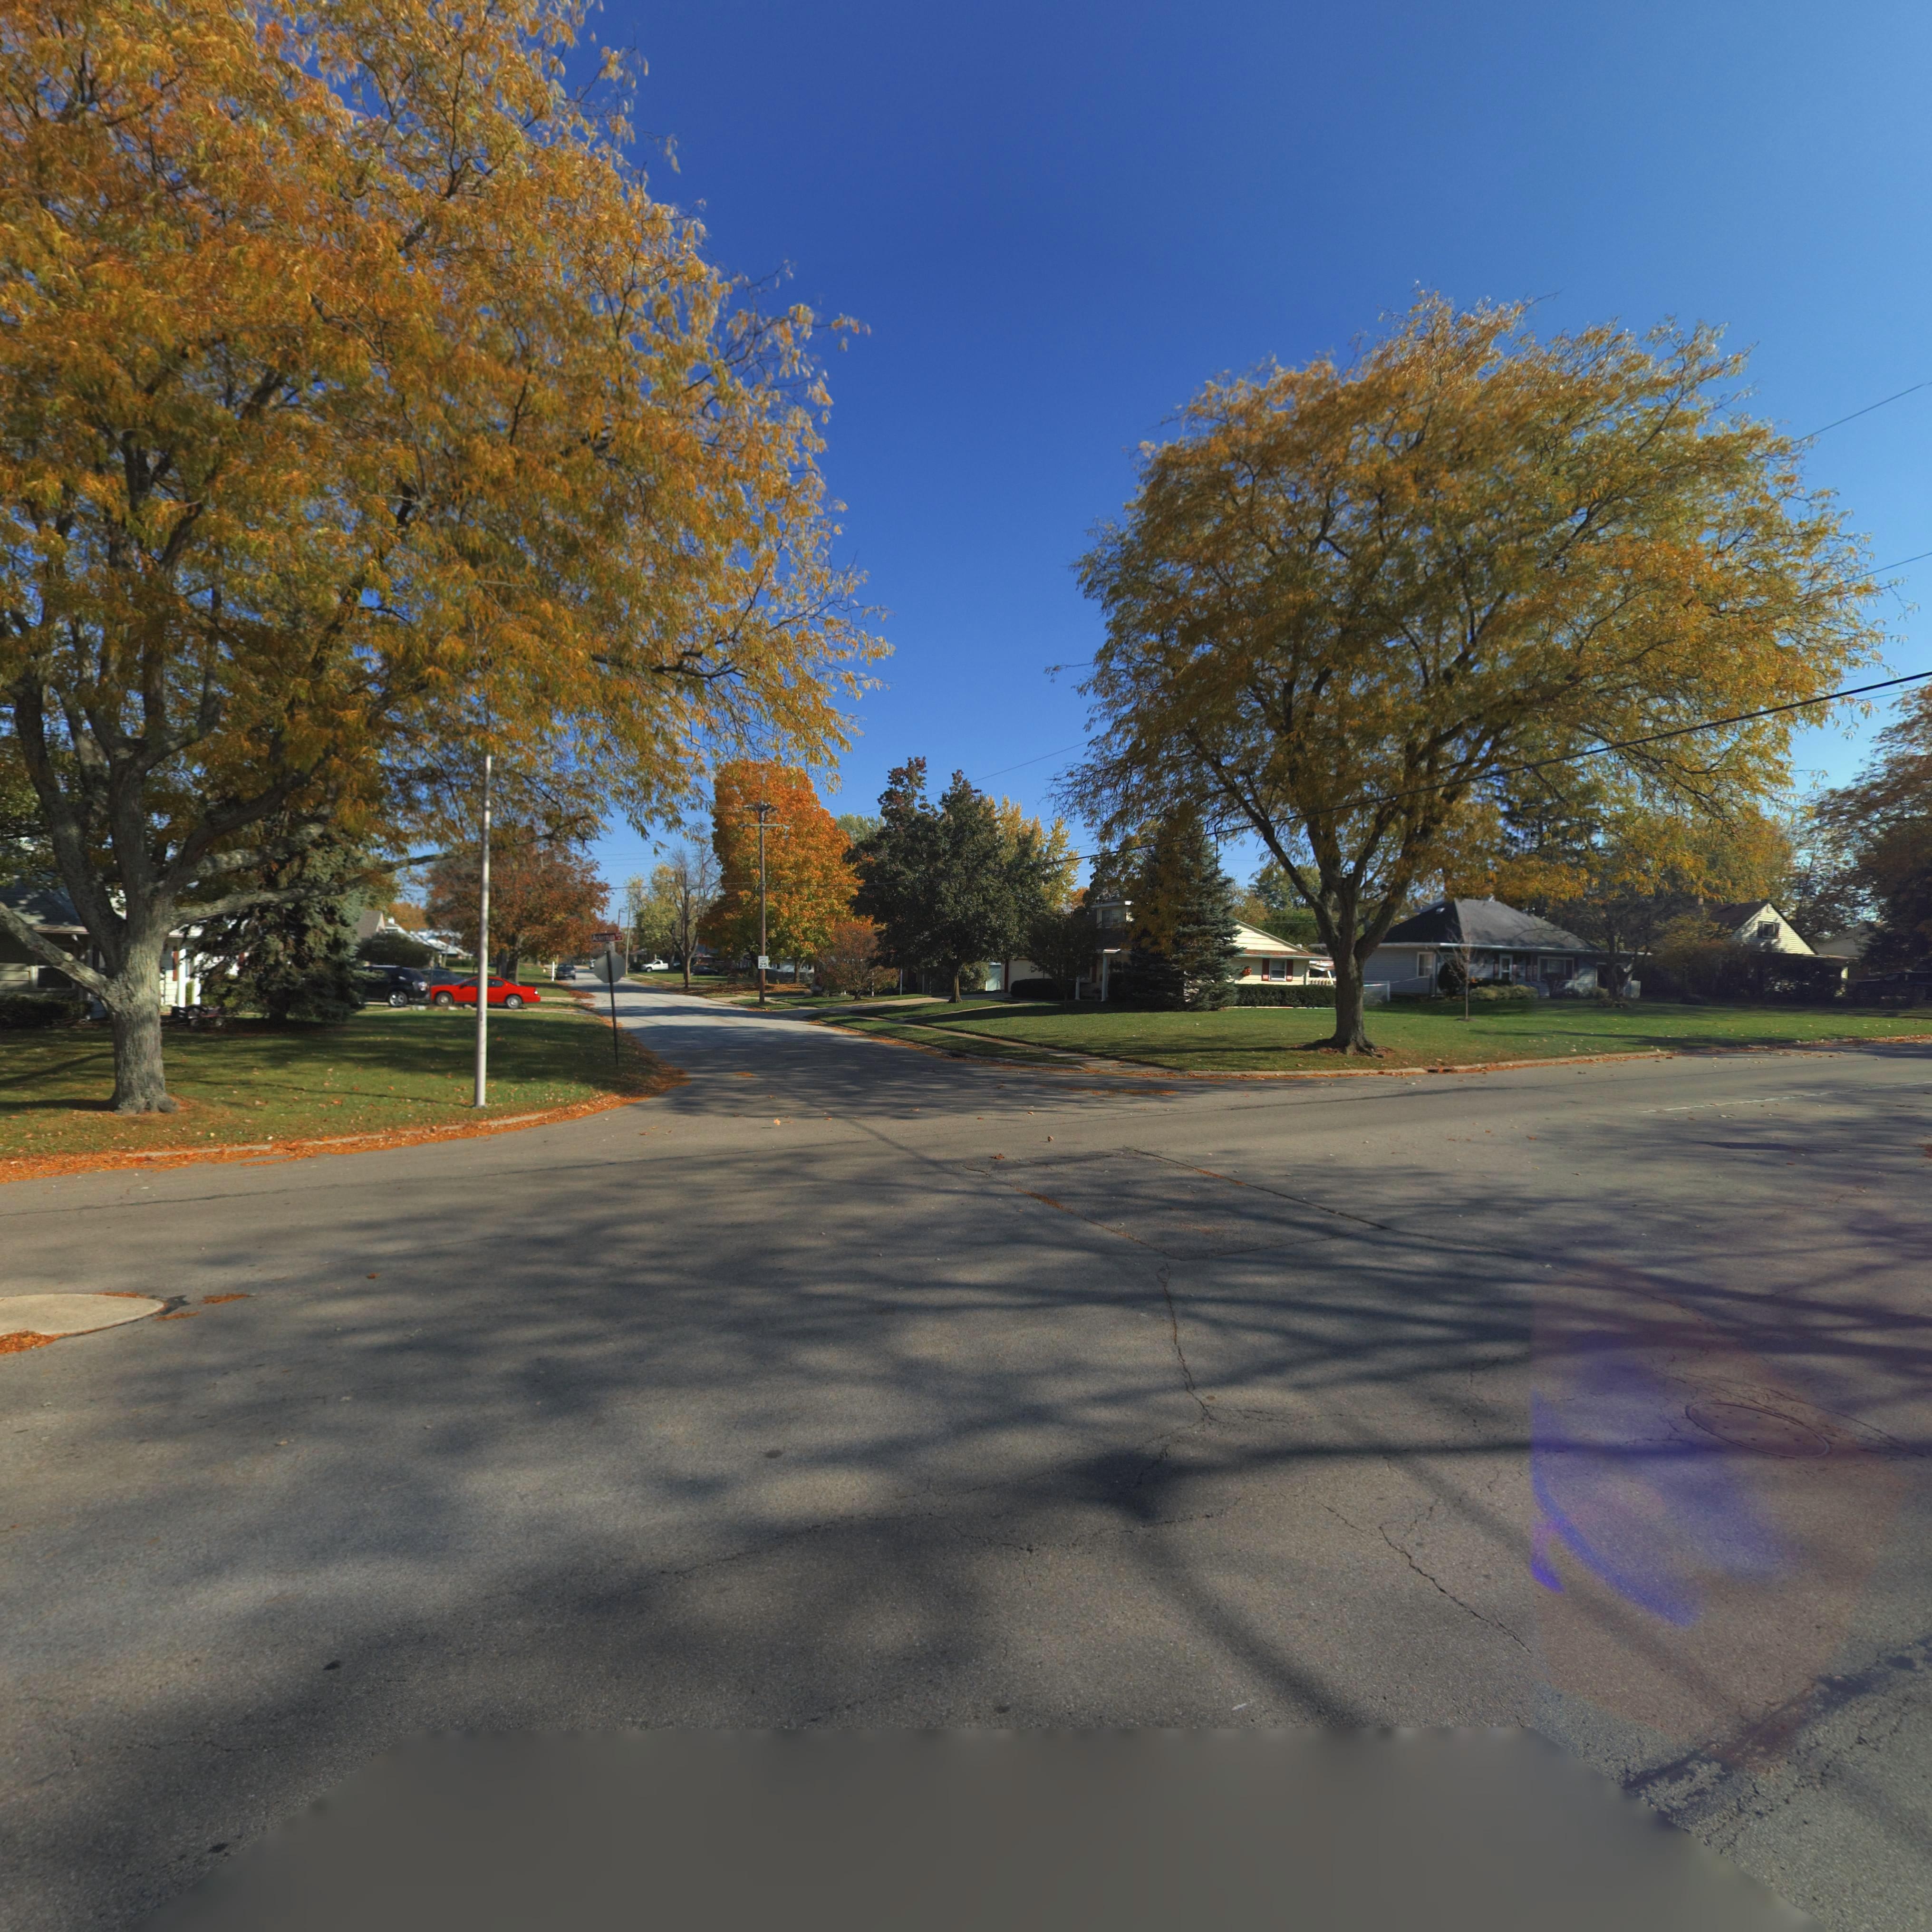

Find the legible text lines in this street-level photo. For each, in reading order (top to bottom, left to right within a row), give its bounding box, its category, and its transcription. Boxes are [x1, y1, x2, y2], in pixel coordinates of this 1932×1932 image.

[592, 934, 615, 942] StreetName: Ackerman
[759, 962, 767, 968] None: 25